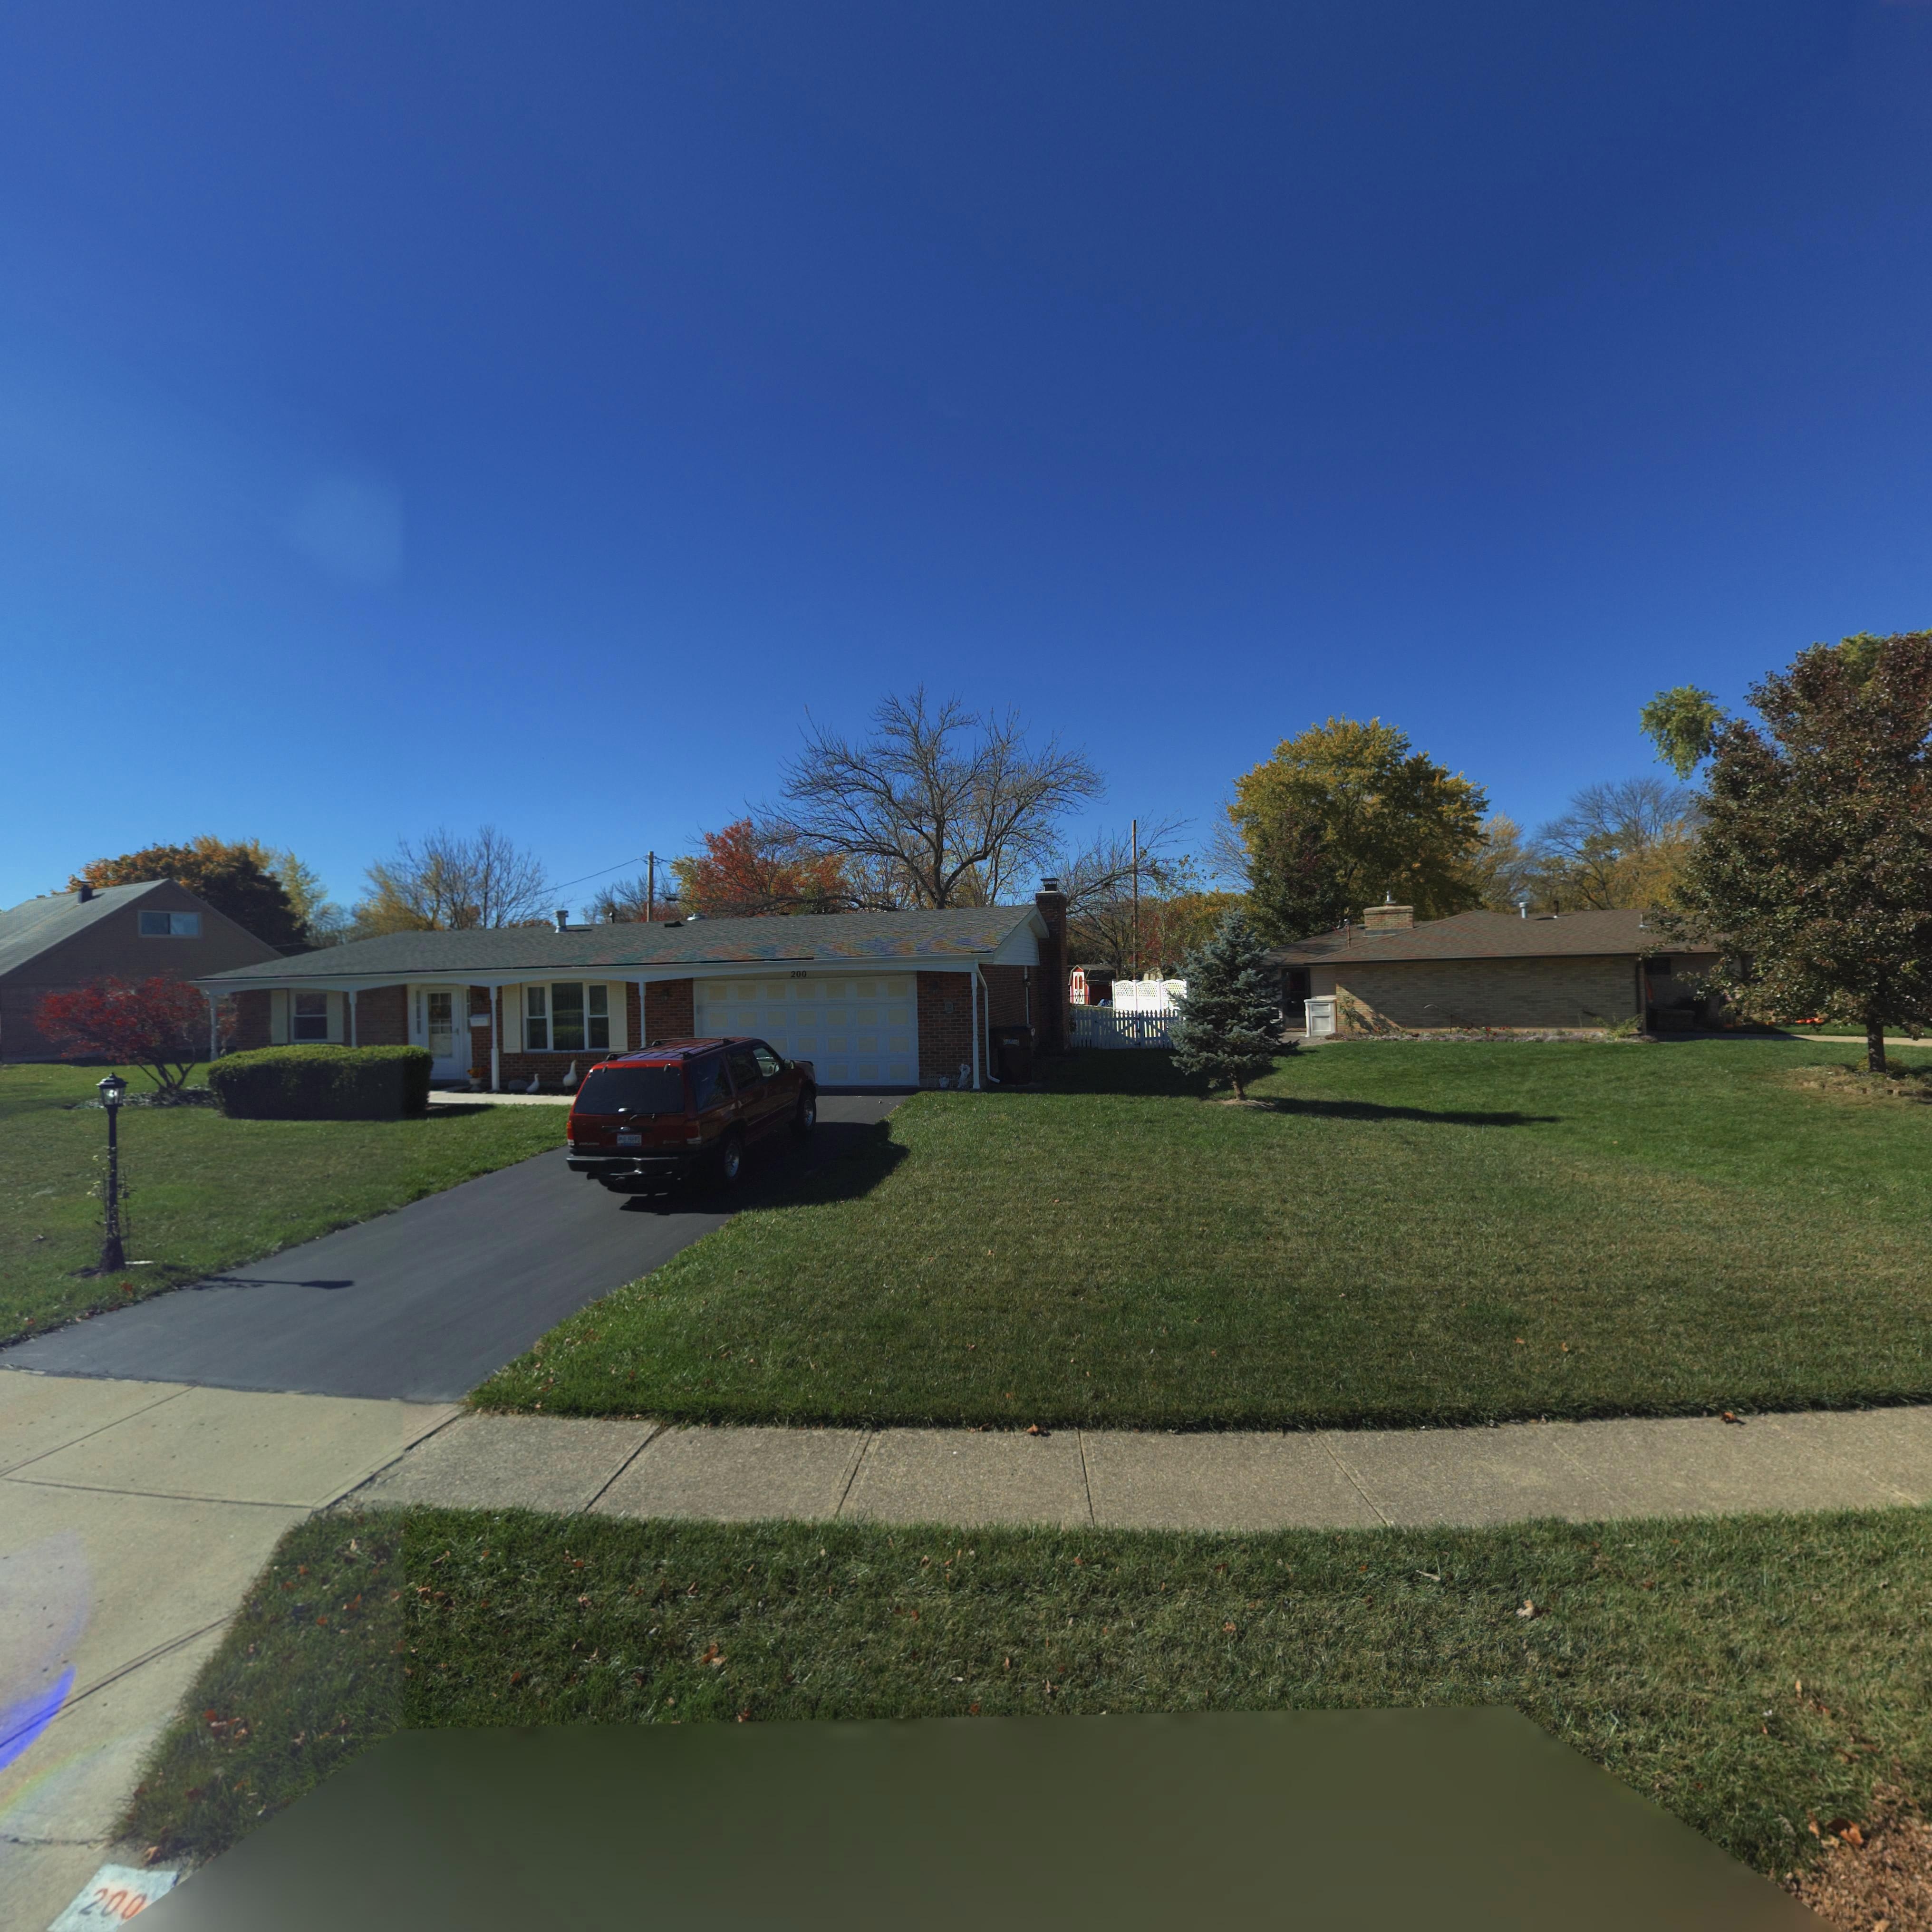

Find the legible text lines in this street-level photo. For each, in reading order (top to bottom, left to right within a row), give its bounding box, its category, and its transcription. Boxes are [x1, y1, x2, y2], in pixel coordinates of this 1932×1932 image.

[790, 969, 808, 978] StreetNumber: 200
[75, 1886, 149, 1923] StreetNumber: 200